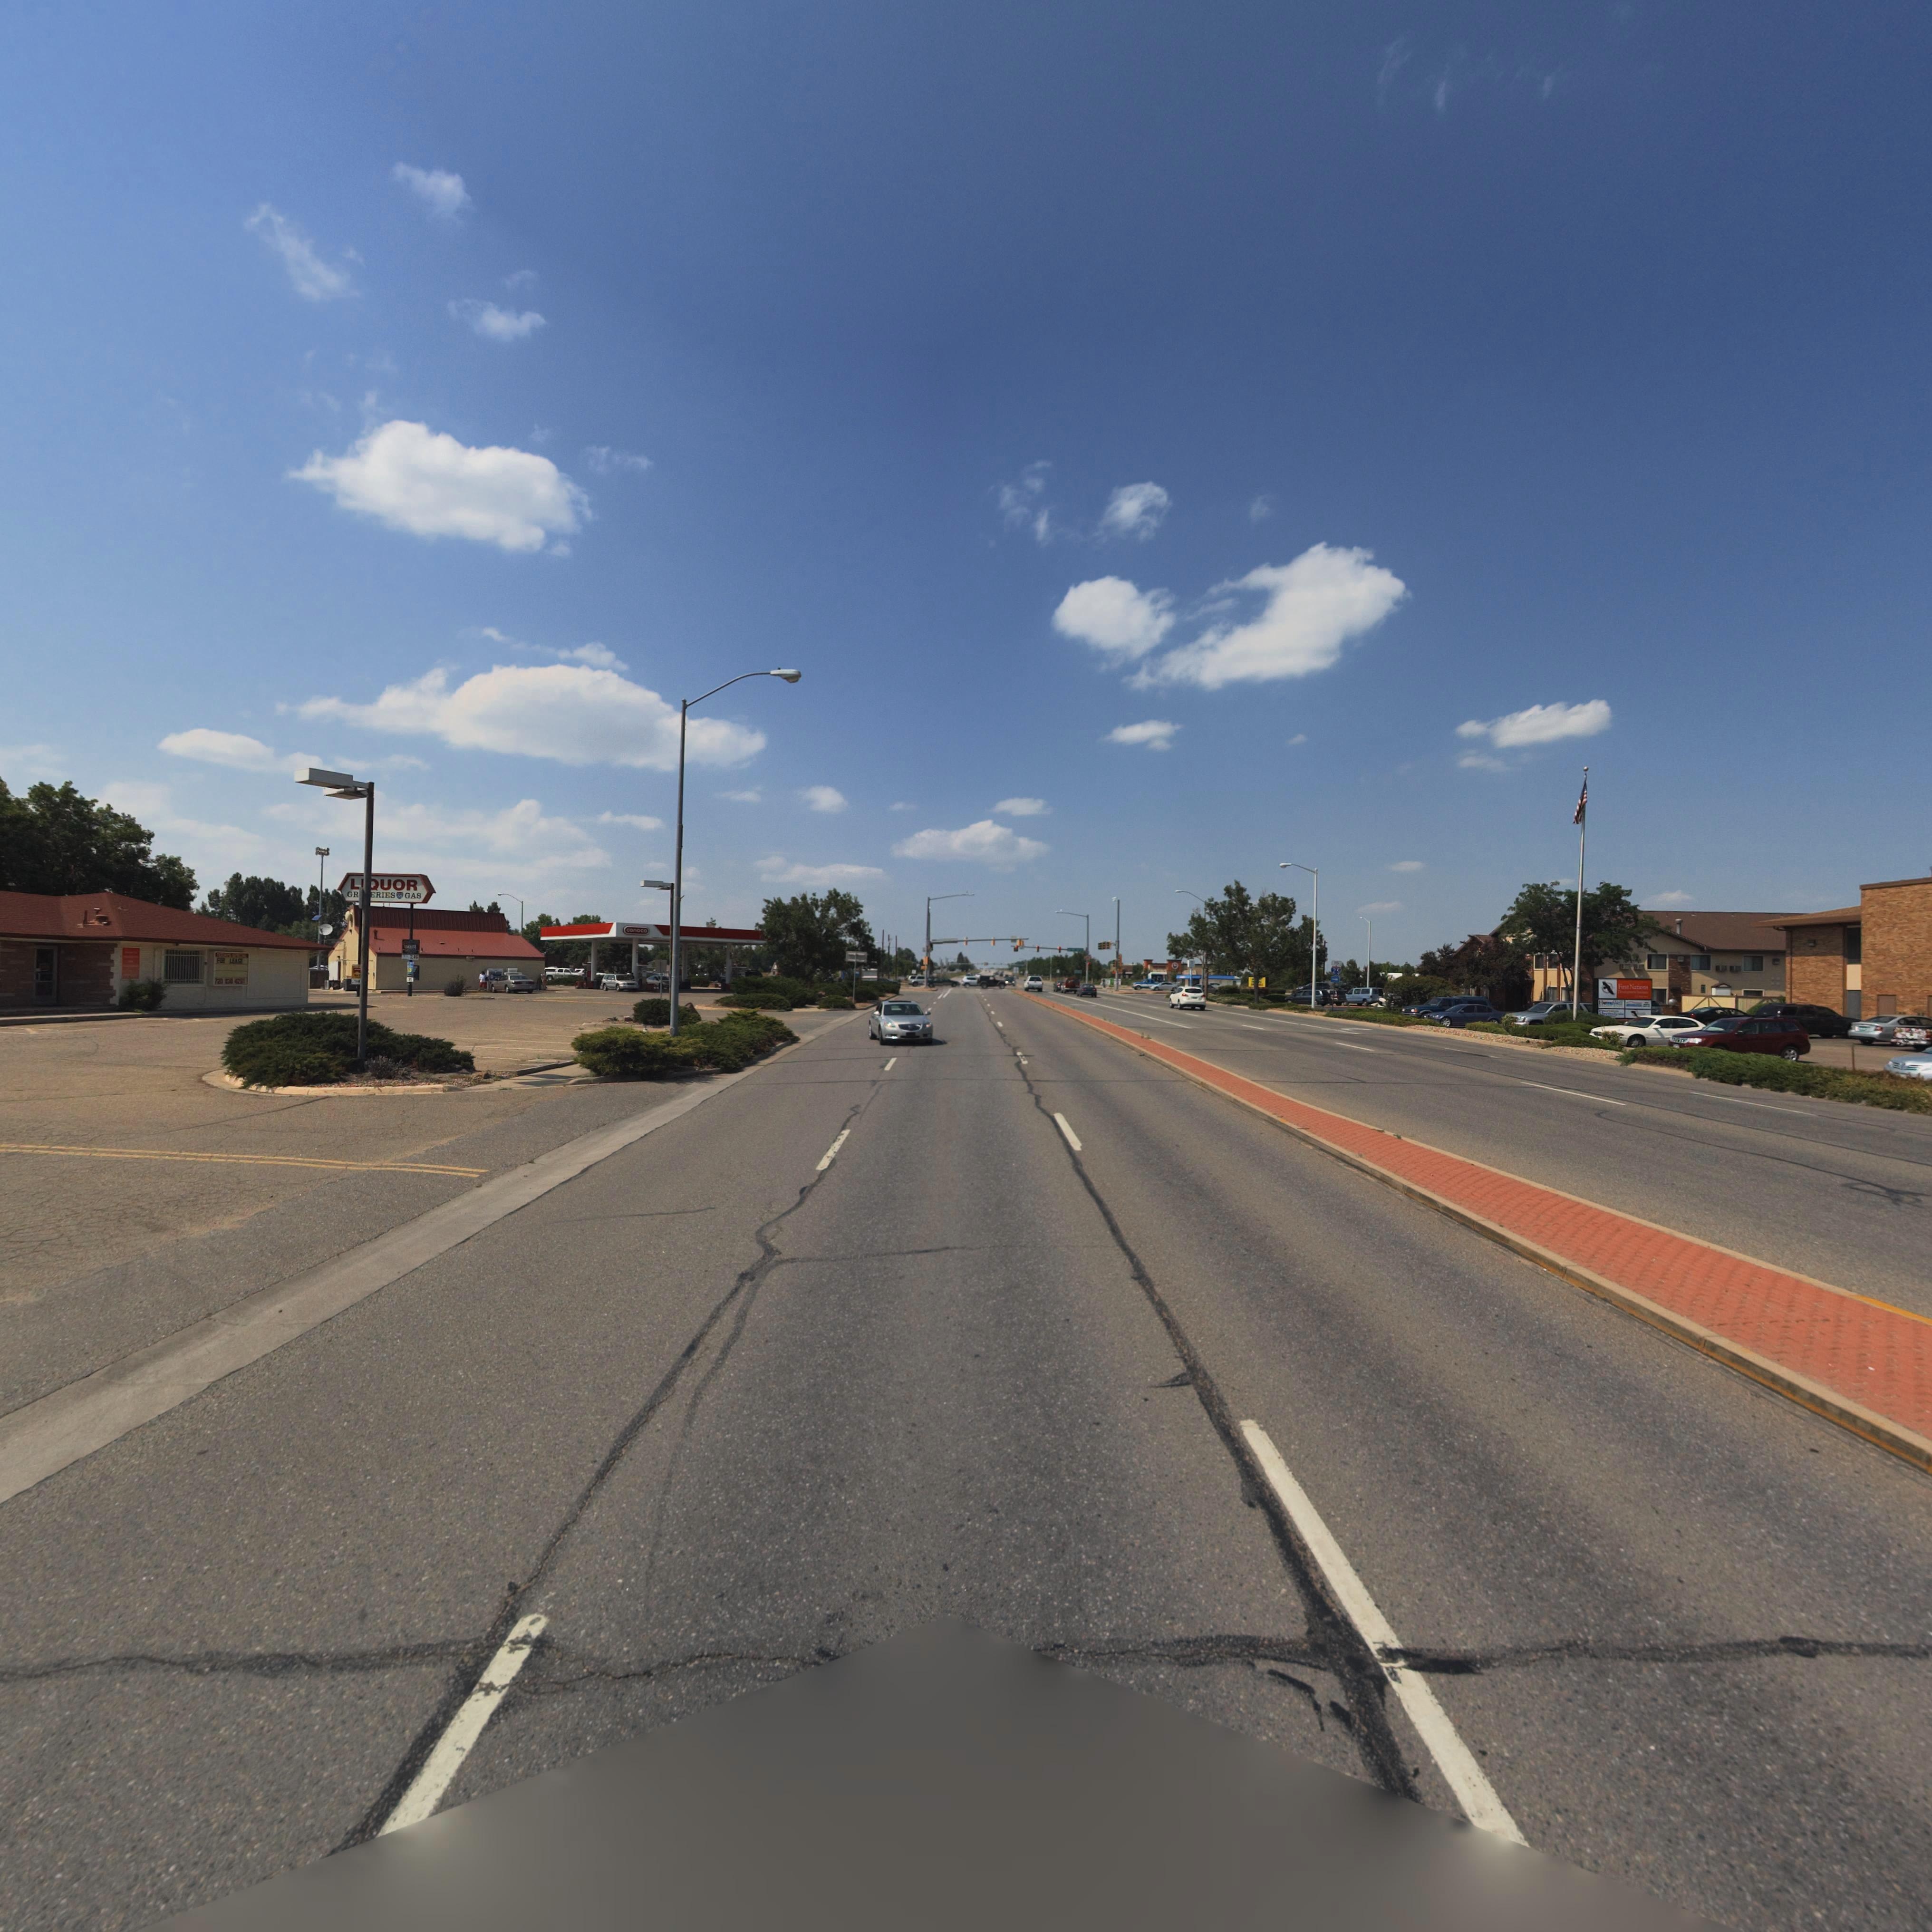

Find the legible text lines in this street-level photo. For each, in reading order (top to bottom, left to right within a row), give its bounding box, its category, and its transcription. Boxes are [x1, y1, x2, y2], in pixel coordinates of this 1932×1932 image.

[626, 928, 647, 933] BusinessName: conoco
[1618, 983, 1648, 990] BusinessName: First Nations